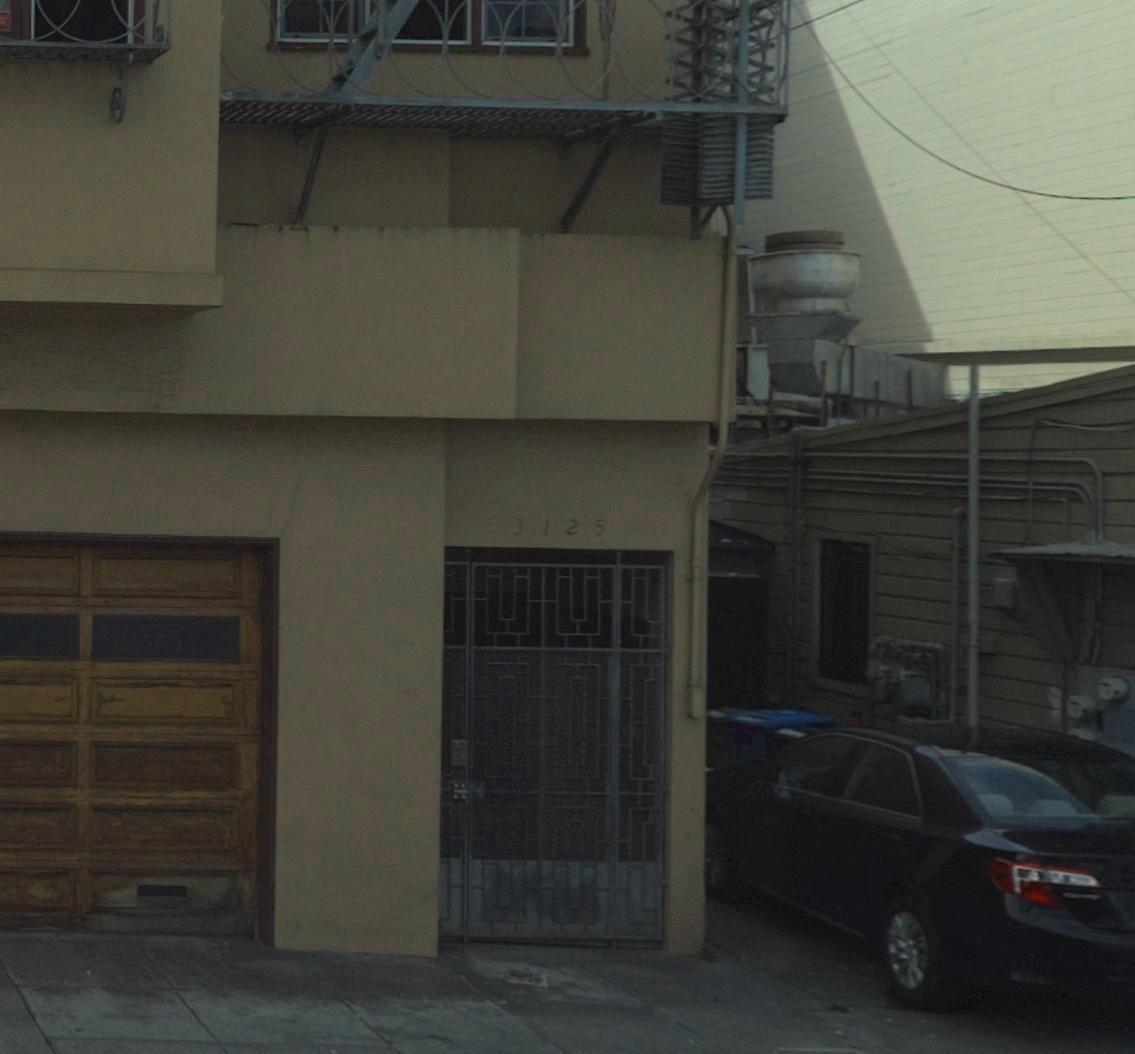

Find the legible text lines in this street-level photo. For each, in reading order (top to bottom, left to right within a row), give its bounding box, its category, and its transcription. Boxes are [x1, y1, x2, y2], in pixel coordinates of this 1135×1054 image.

[509, 516, 607, 540] StreetNumber: 3125